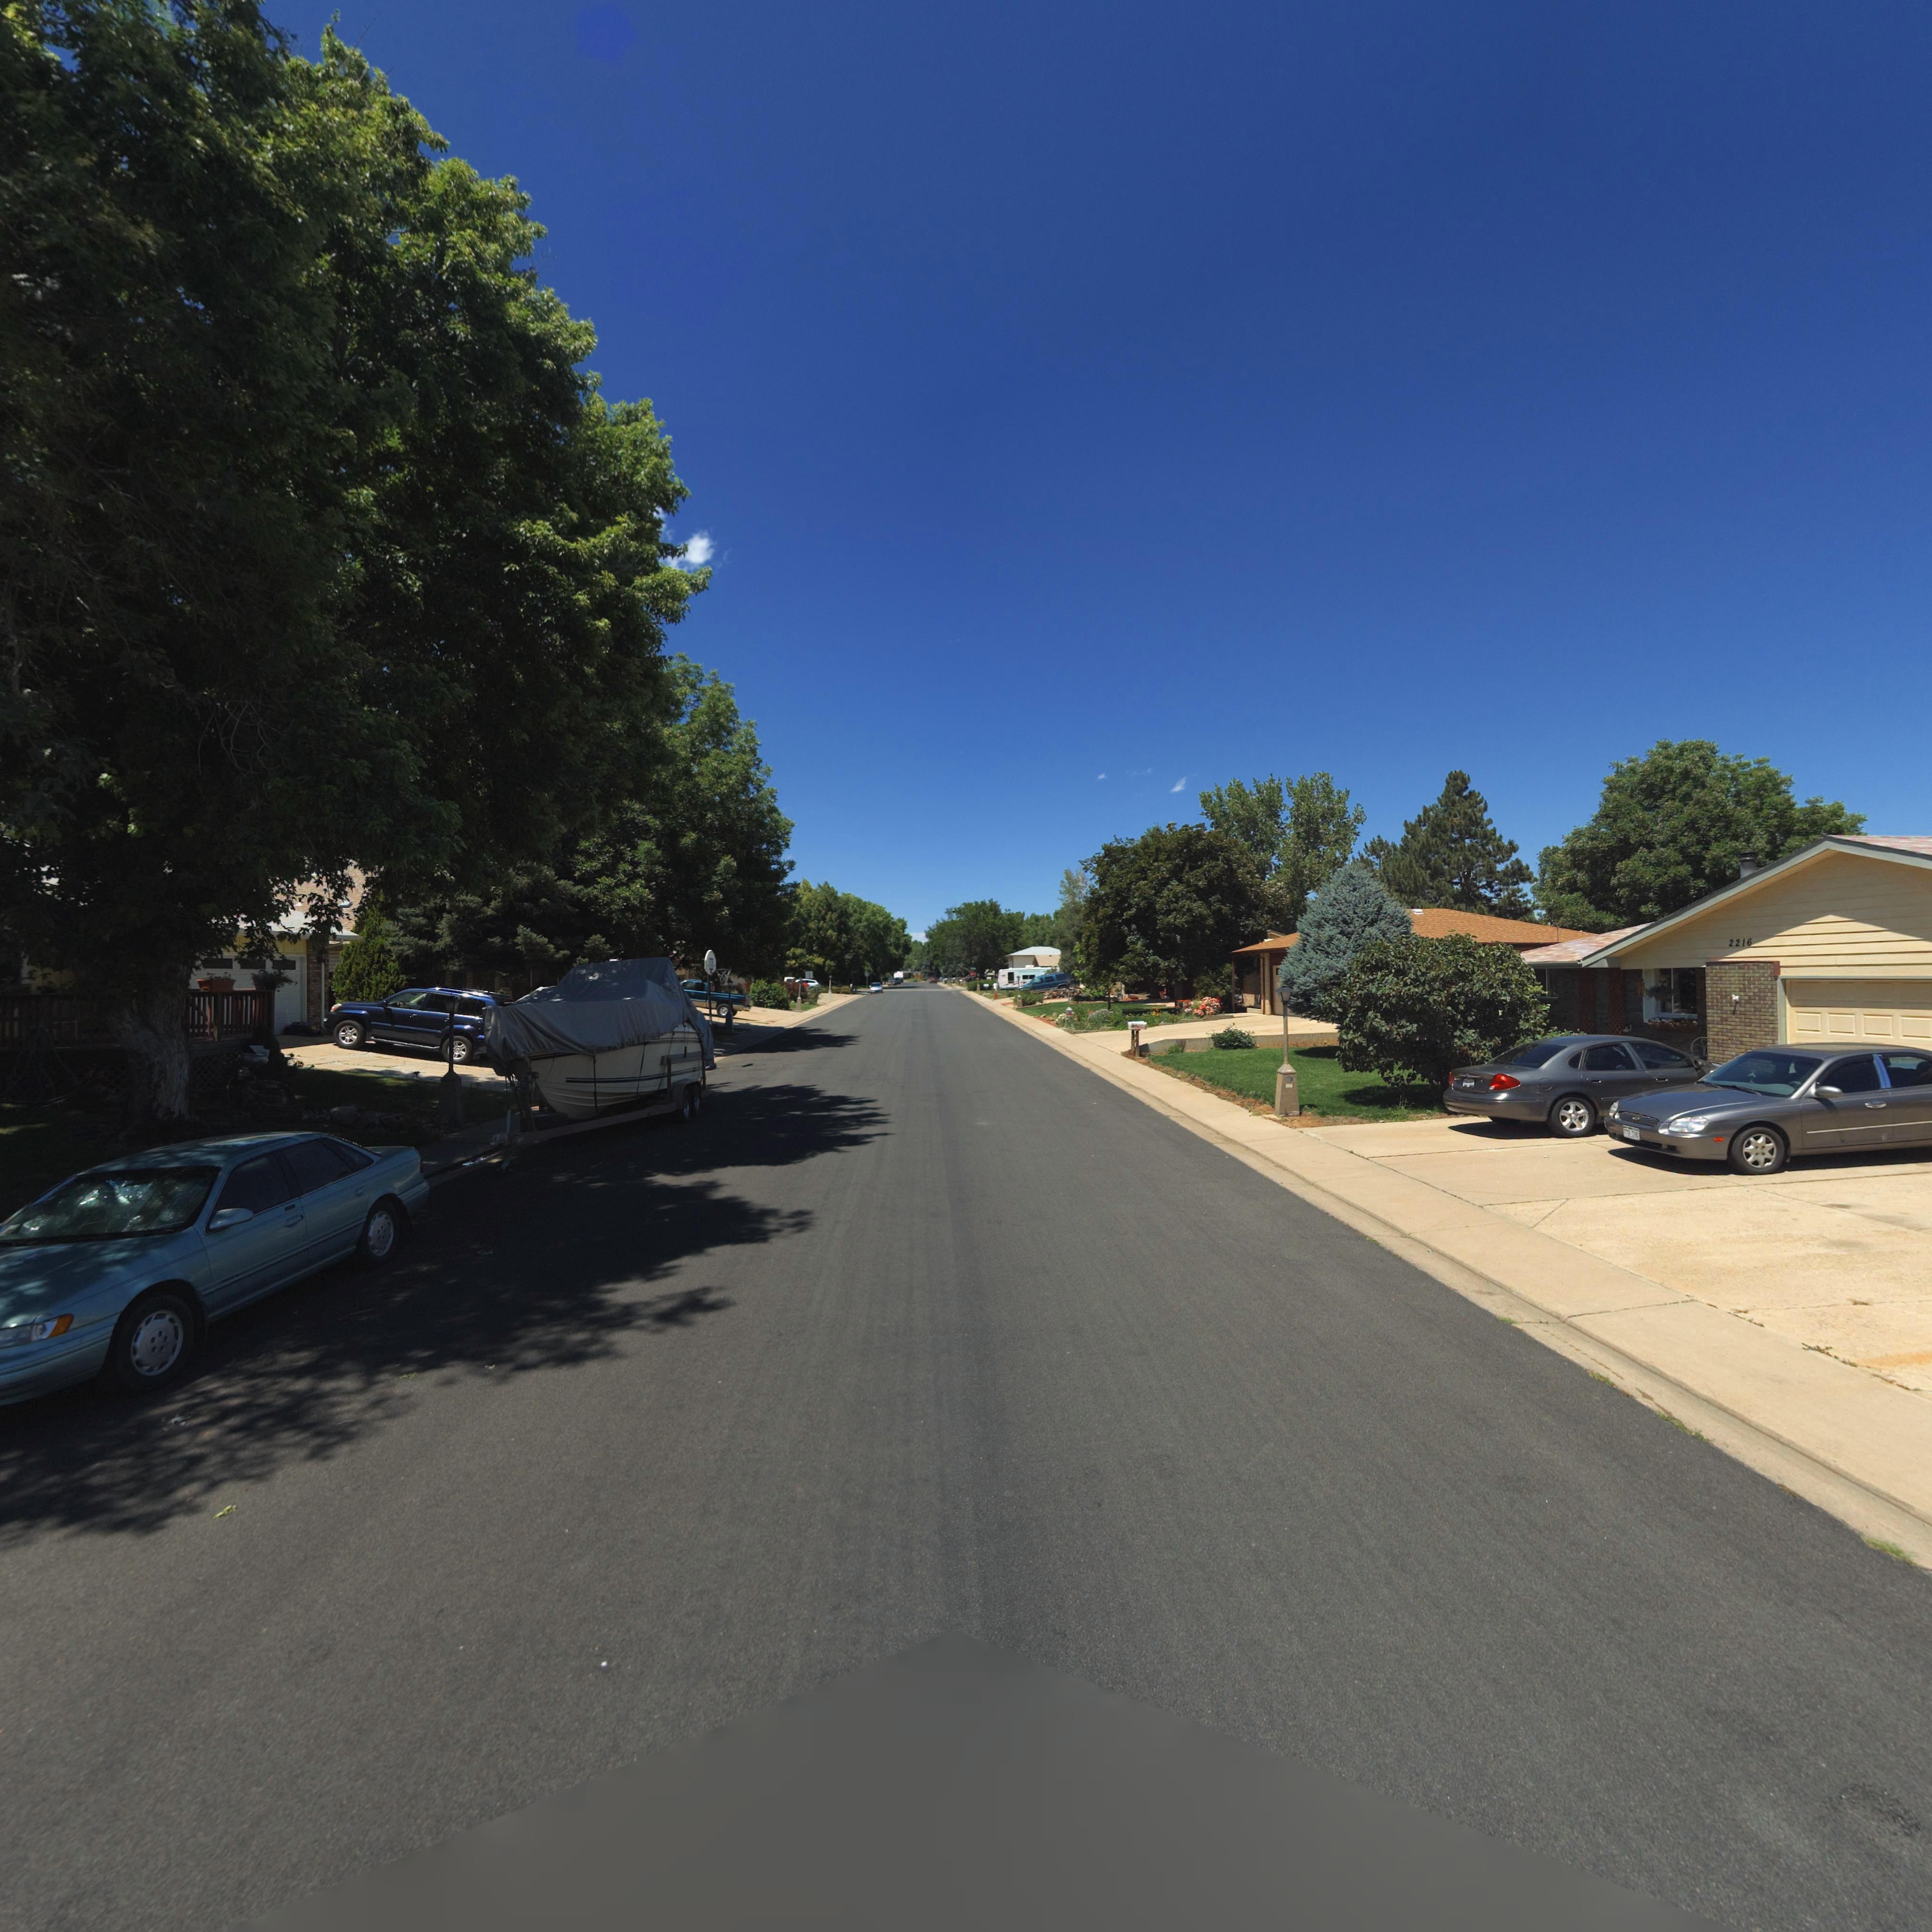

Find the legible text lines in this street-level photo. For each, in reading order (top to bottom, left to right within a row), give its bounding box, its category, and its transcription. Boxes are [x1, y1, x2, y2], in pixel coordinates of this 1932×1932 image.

[1729, 938, 1752, 947] StreetNumber: 2216